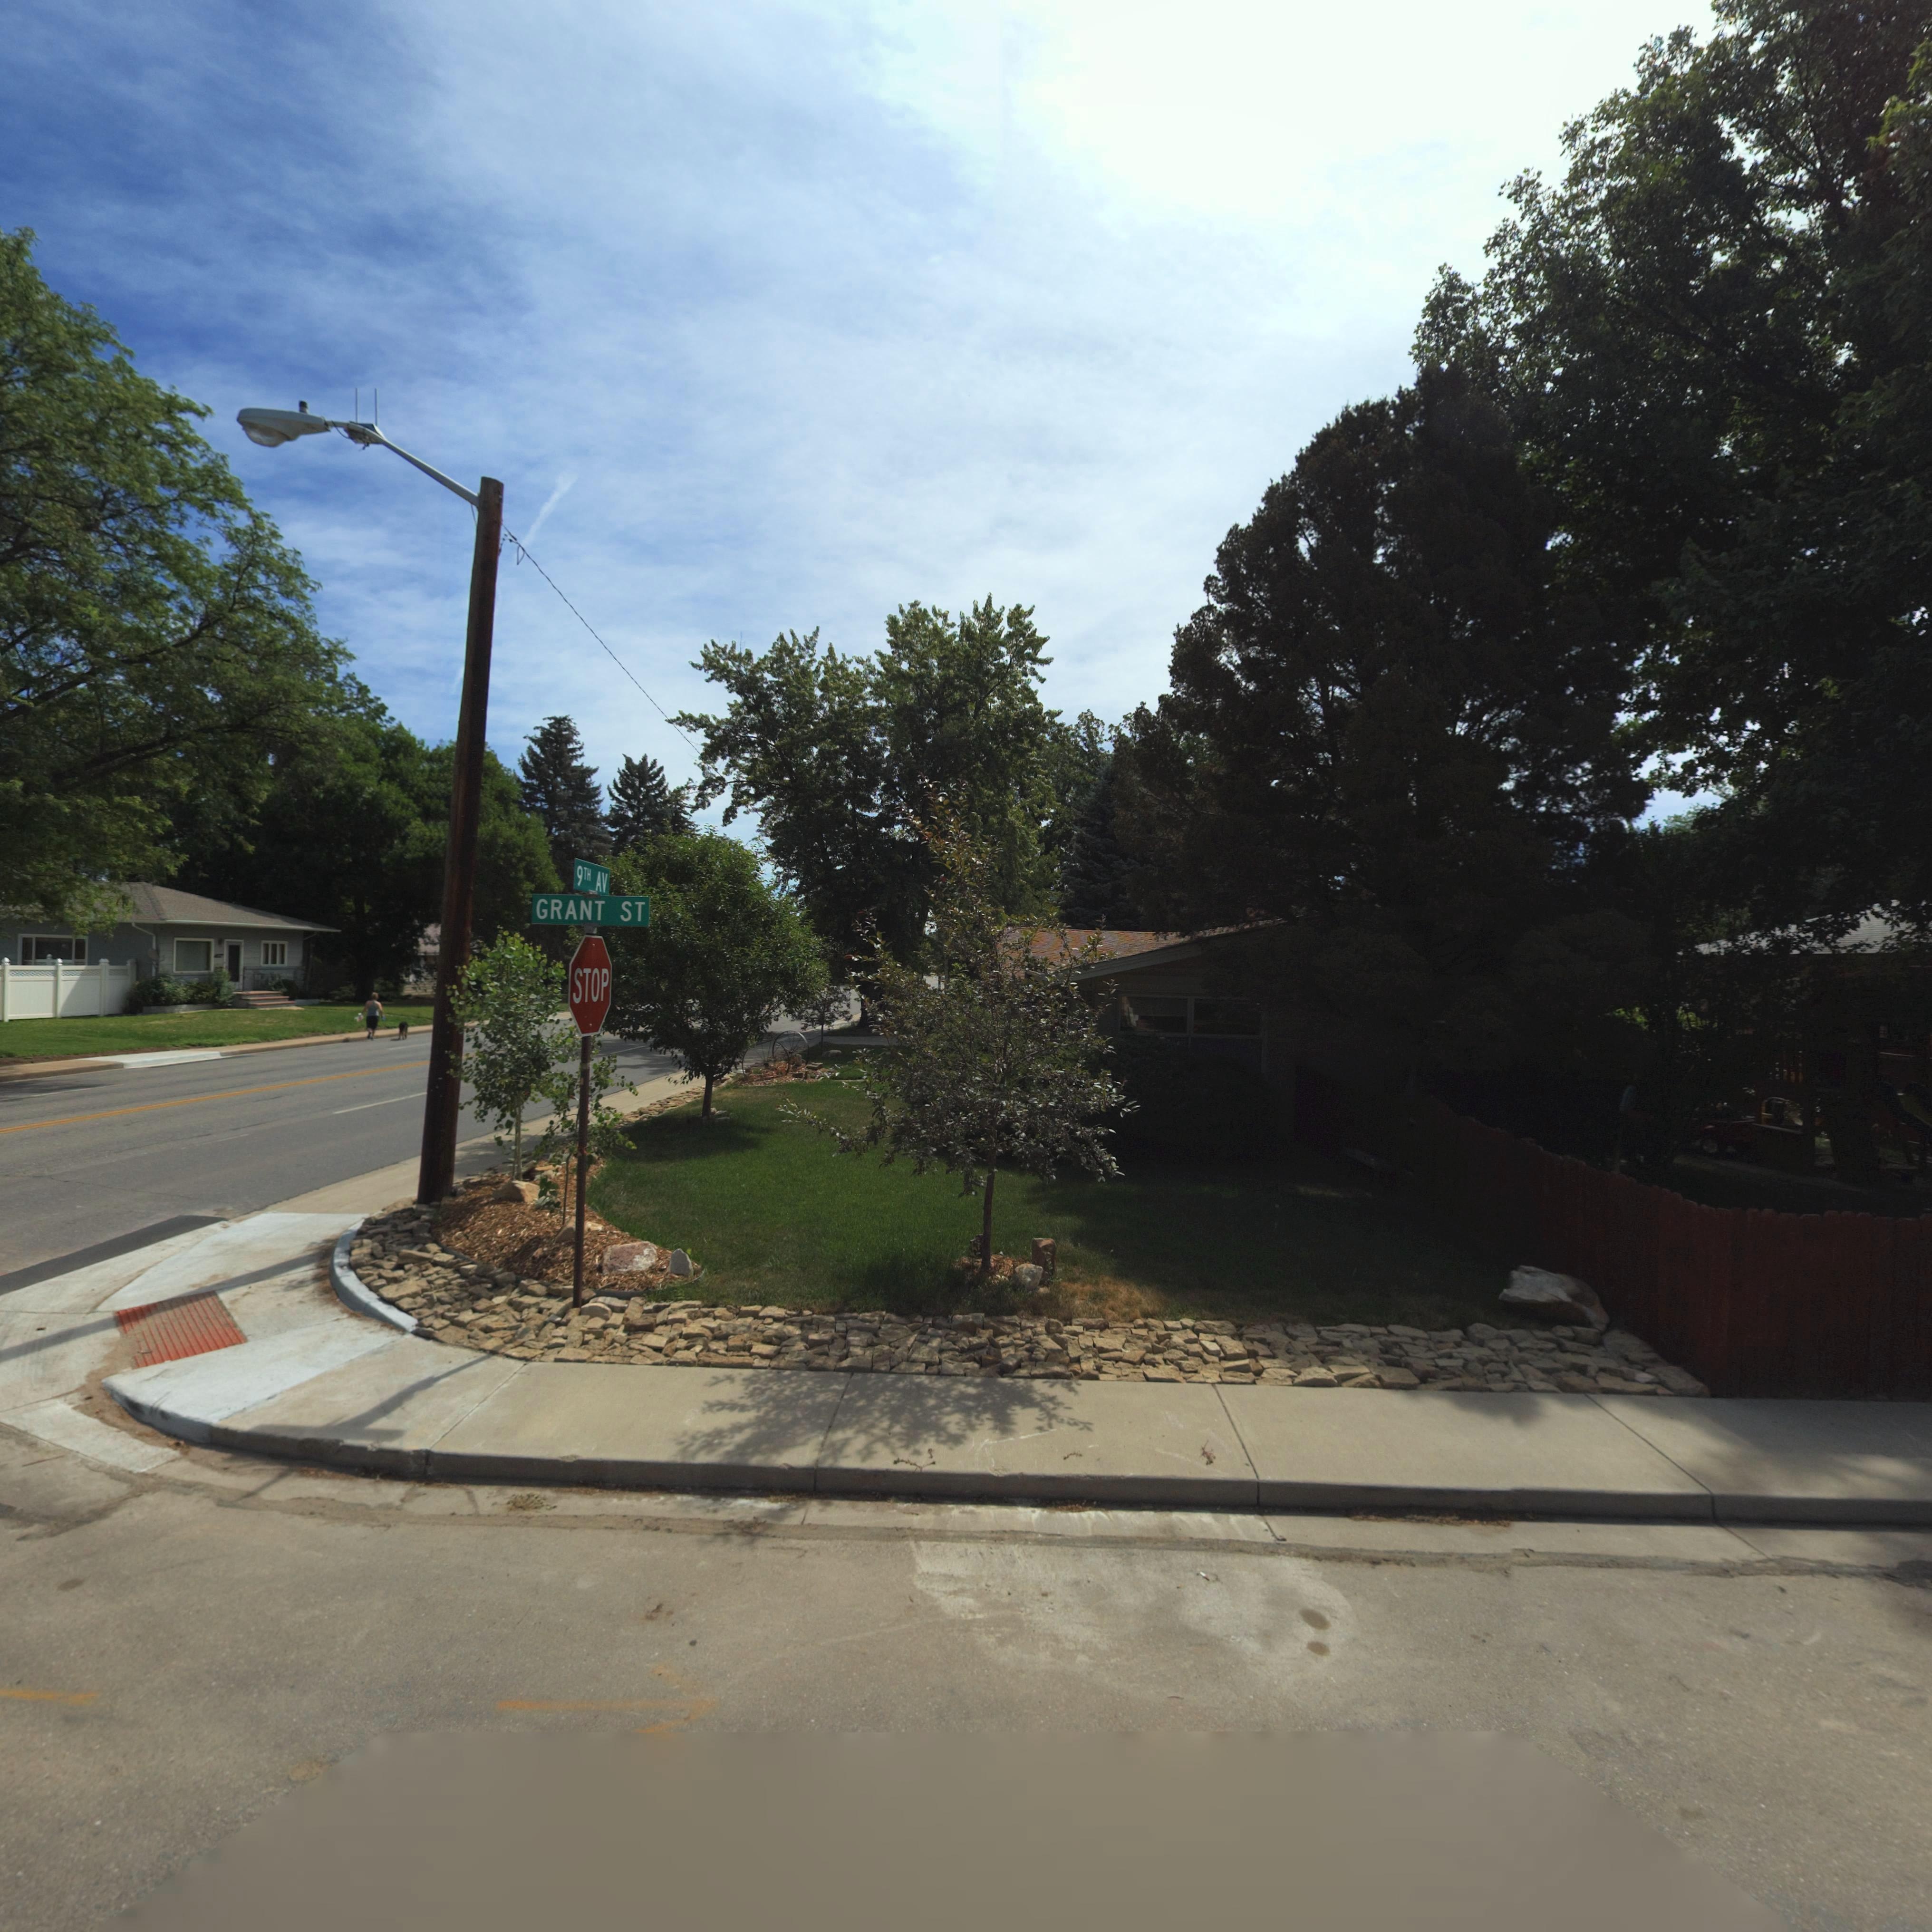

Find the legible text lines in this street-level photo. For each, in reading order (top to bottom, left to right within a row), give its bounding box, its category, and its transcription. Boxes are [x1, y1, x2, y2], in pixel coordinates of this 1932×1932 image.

[576, 865, 608, 893] StreetName: 9TH AV
[534, 898, 646, 921] StreetName: GRANT ST